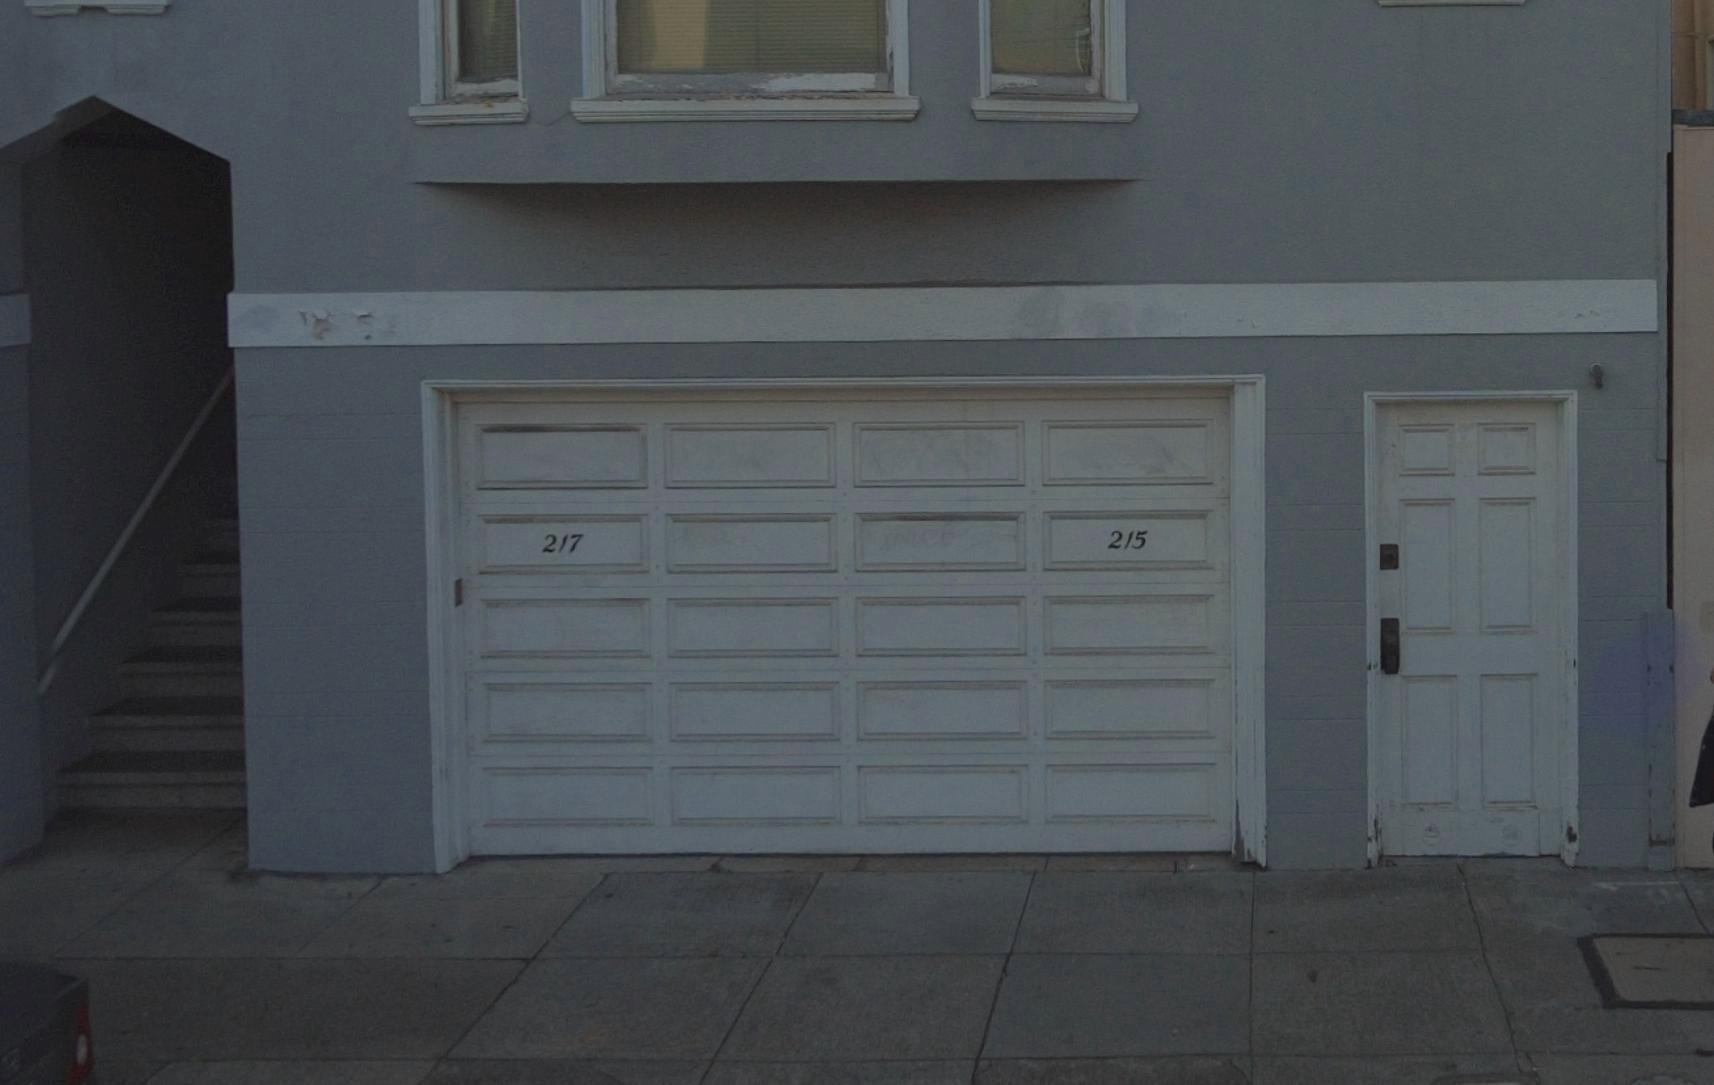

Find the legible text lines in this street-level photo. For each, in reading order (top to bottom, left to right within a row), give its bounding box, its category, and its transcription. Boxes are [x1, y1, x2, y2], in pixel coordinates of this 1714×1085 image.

[541, 533, 588, 554] StreetNumber: 217
[1106, 530, 1149, 551] StreetNumber: 215